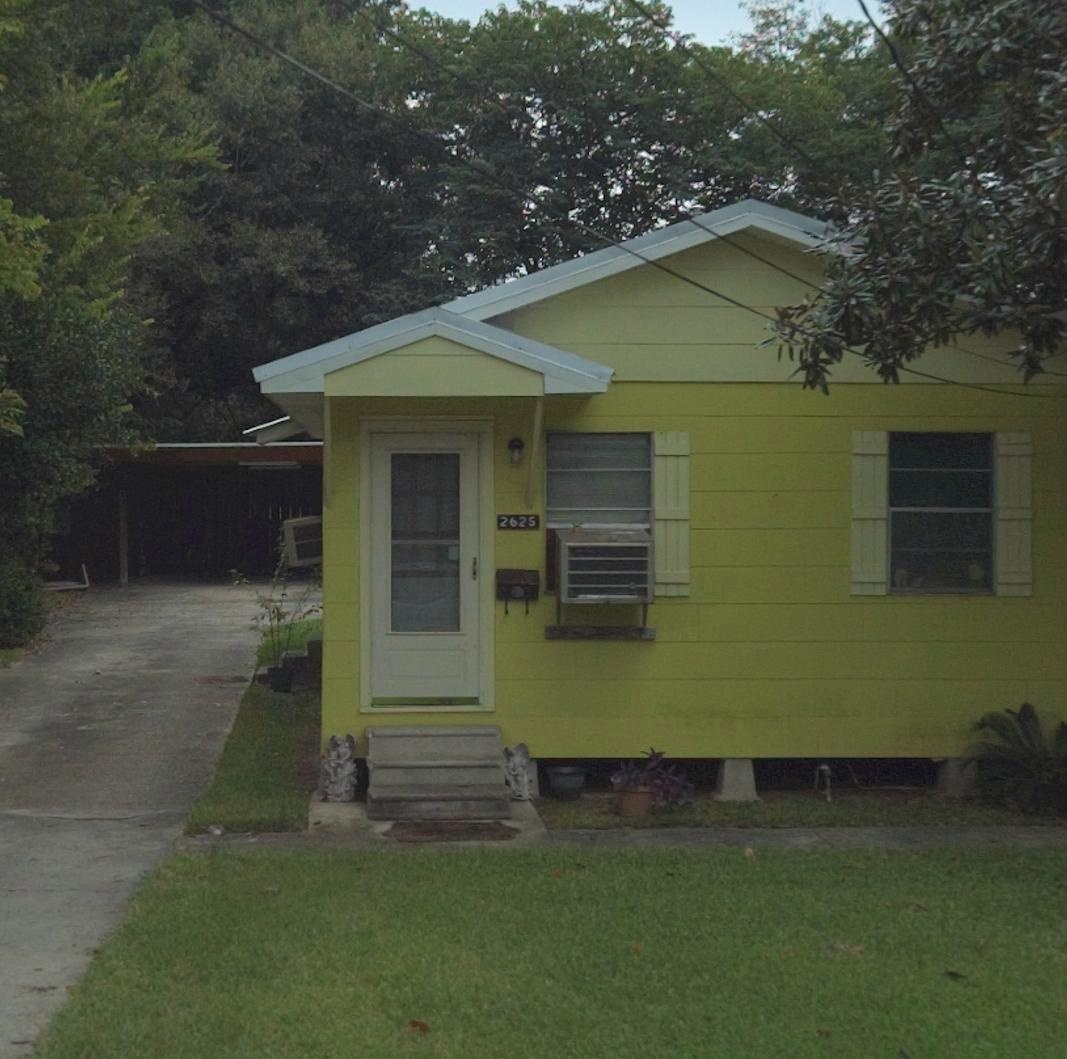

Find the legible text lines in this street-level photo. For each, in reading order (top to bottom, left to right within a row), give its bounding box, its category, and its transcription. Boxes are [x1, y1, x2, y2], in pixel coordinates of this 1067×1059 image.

[499, 515, 538, 528] StreetNumber: 2625